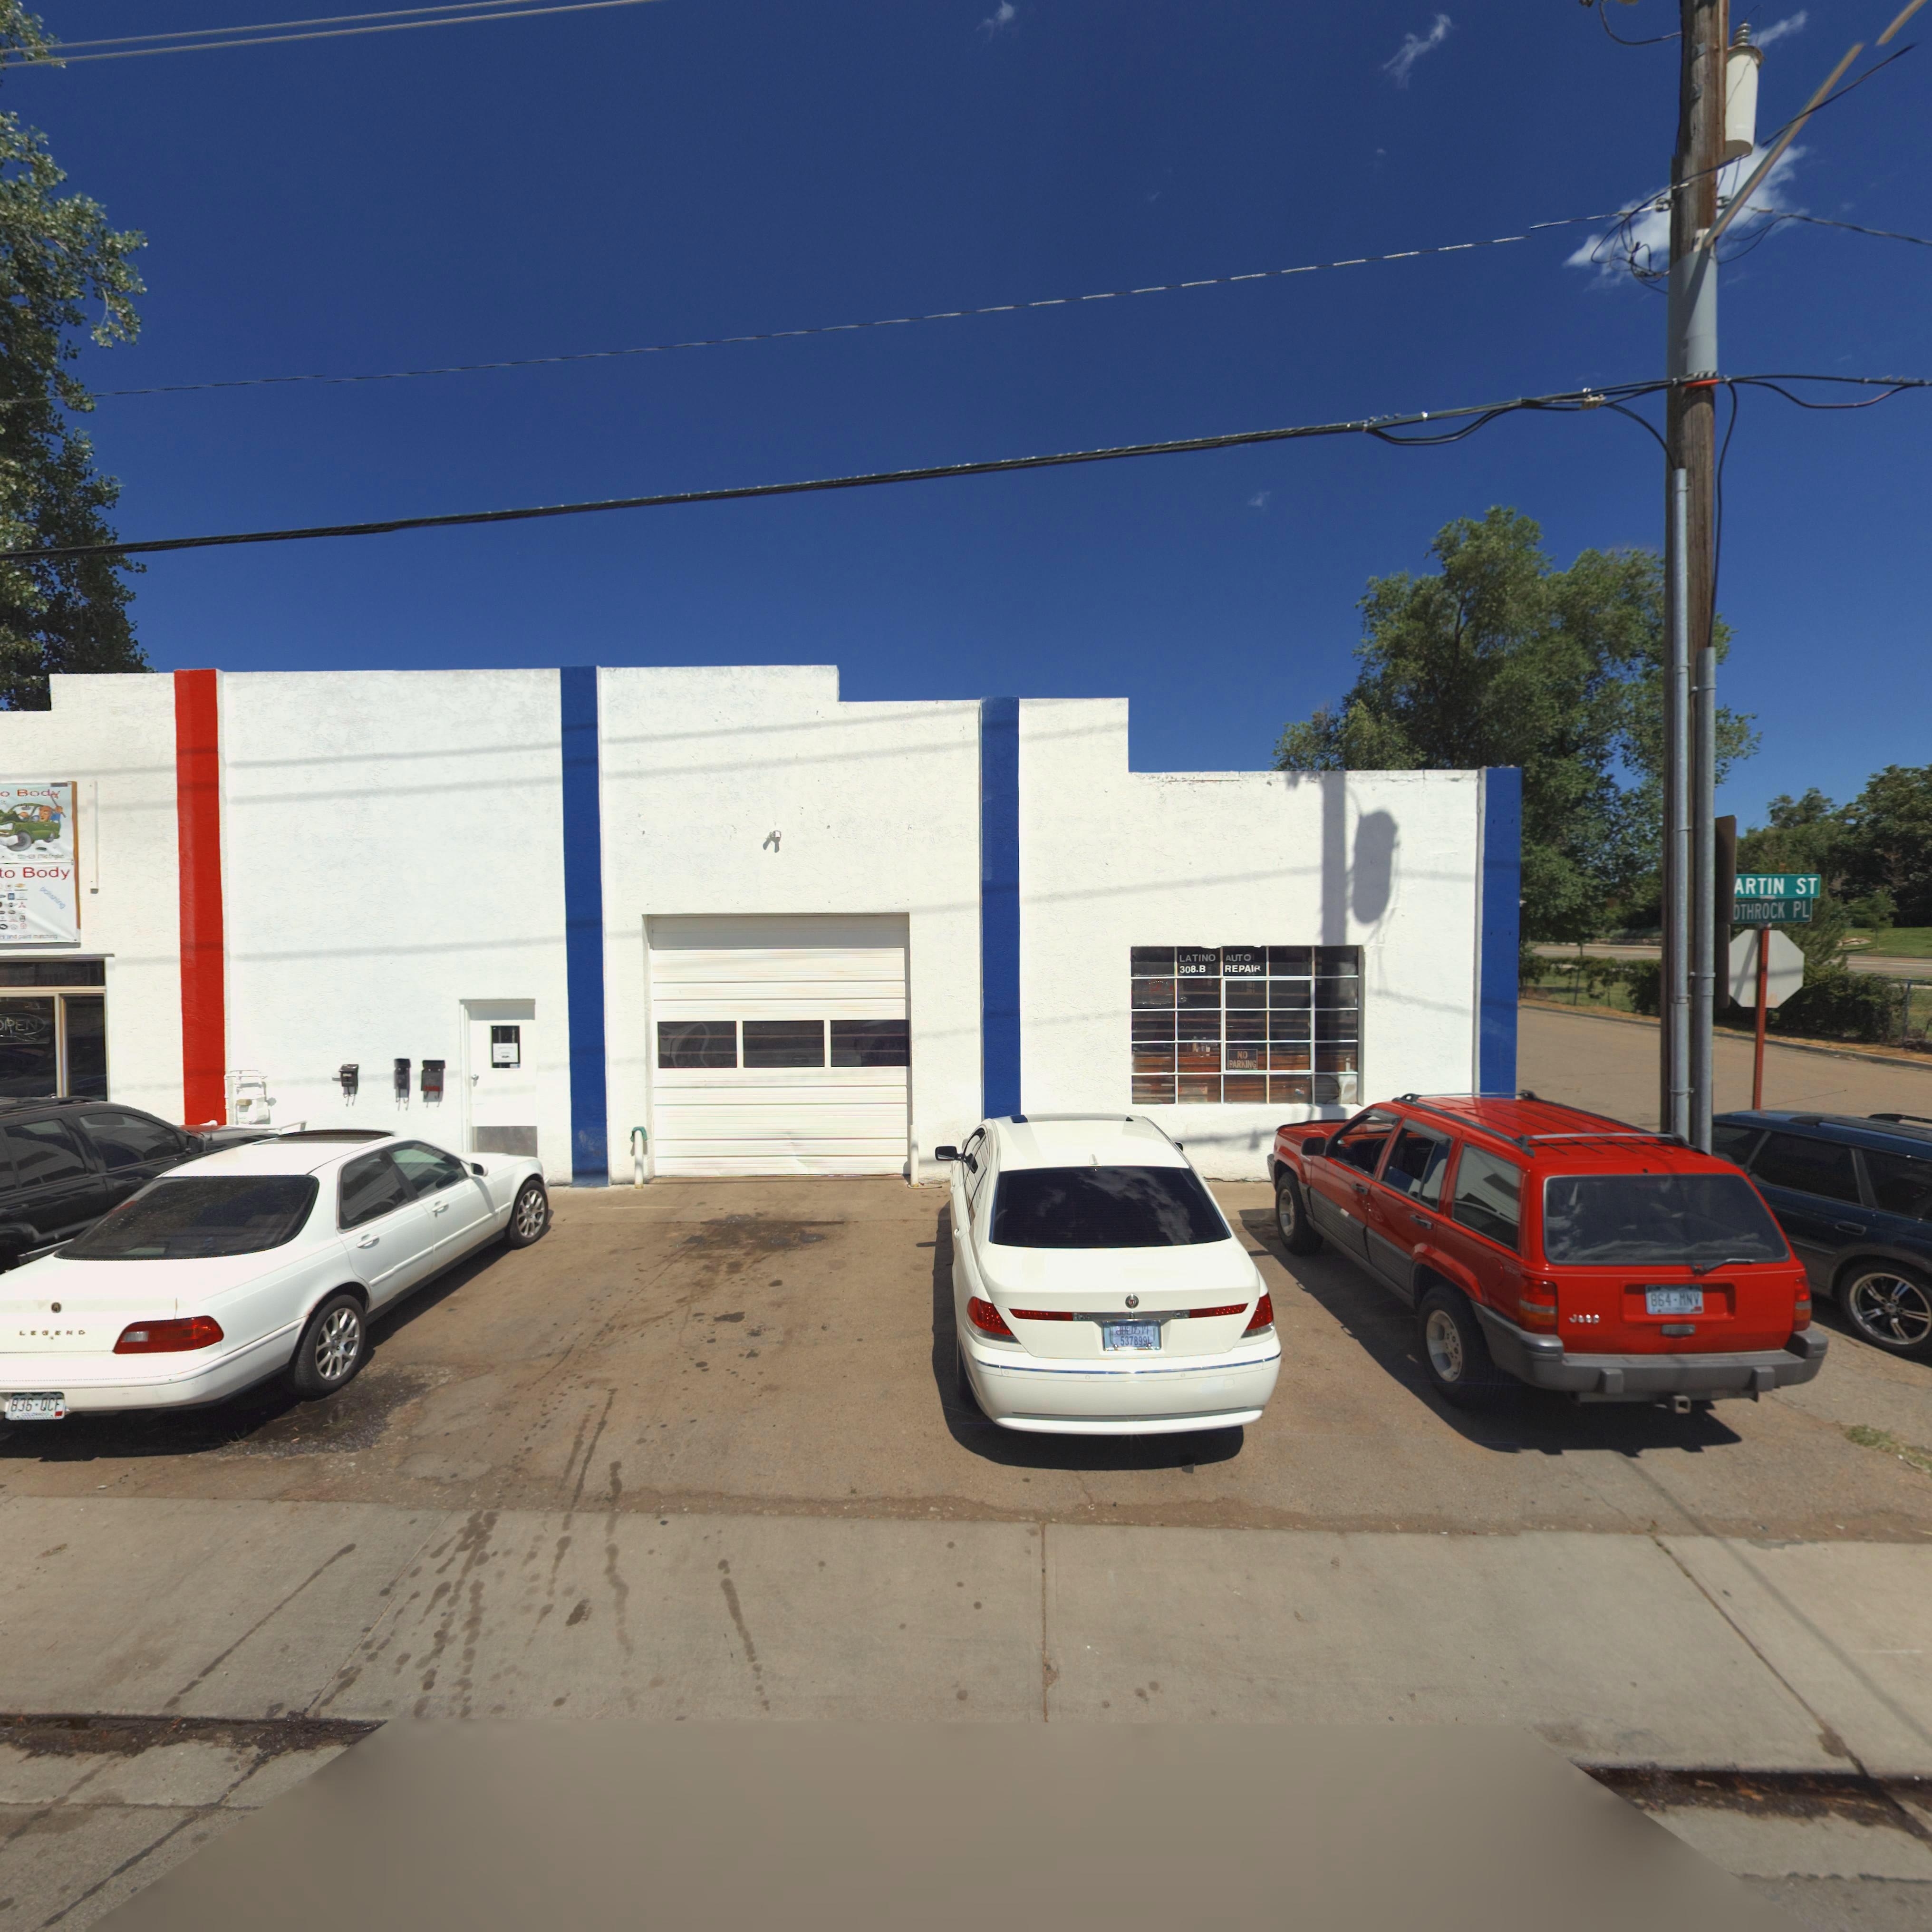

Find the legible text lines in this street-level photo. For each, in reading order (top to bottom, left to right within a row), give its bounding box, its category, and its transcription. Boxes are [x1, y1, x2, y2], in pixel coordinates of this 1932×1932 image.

[1731, 876, 1818, 895] StreetName: ARTIN ST
[1732, 898, 1810, 920] StreetName: *OTHROCK PL
[1179, 953, 1216, 962] BusinessName: LATINO
[1224, 953, 1252, 962] BusinessName: AUTO
[1179, 964, 1206, 974] StreetNumber: 308.B
[1224, 964, 1261, 972] BusinessName: REPAIR